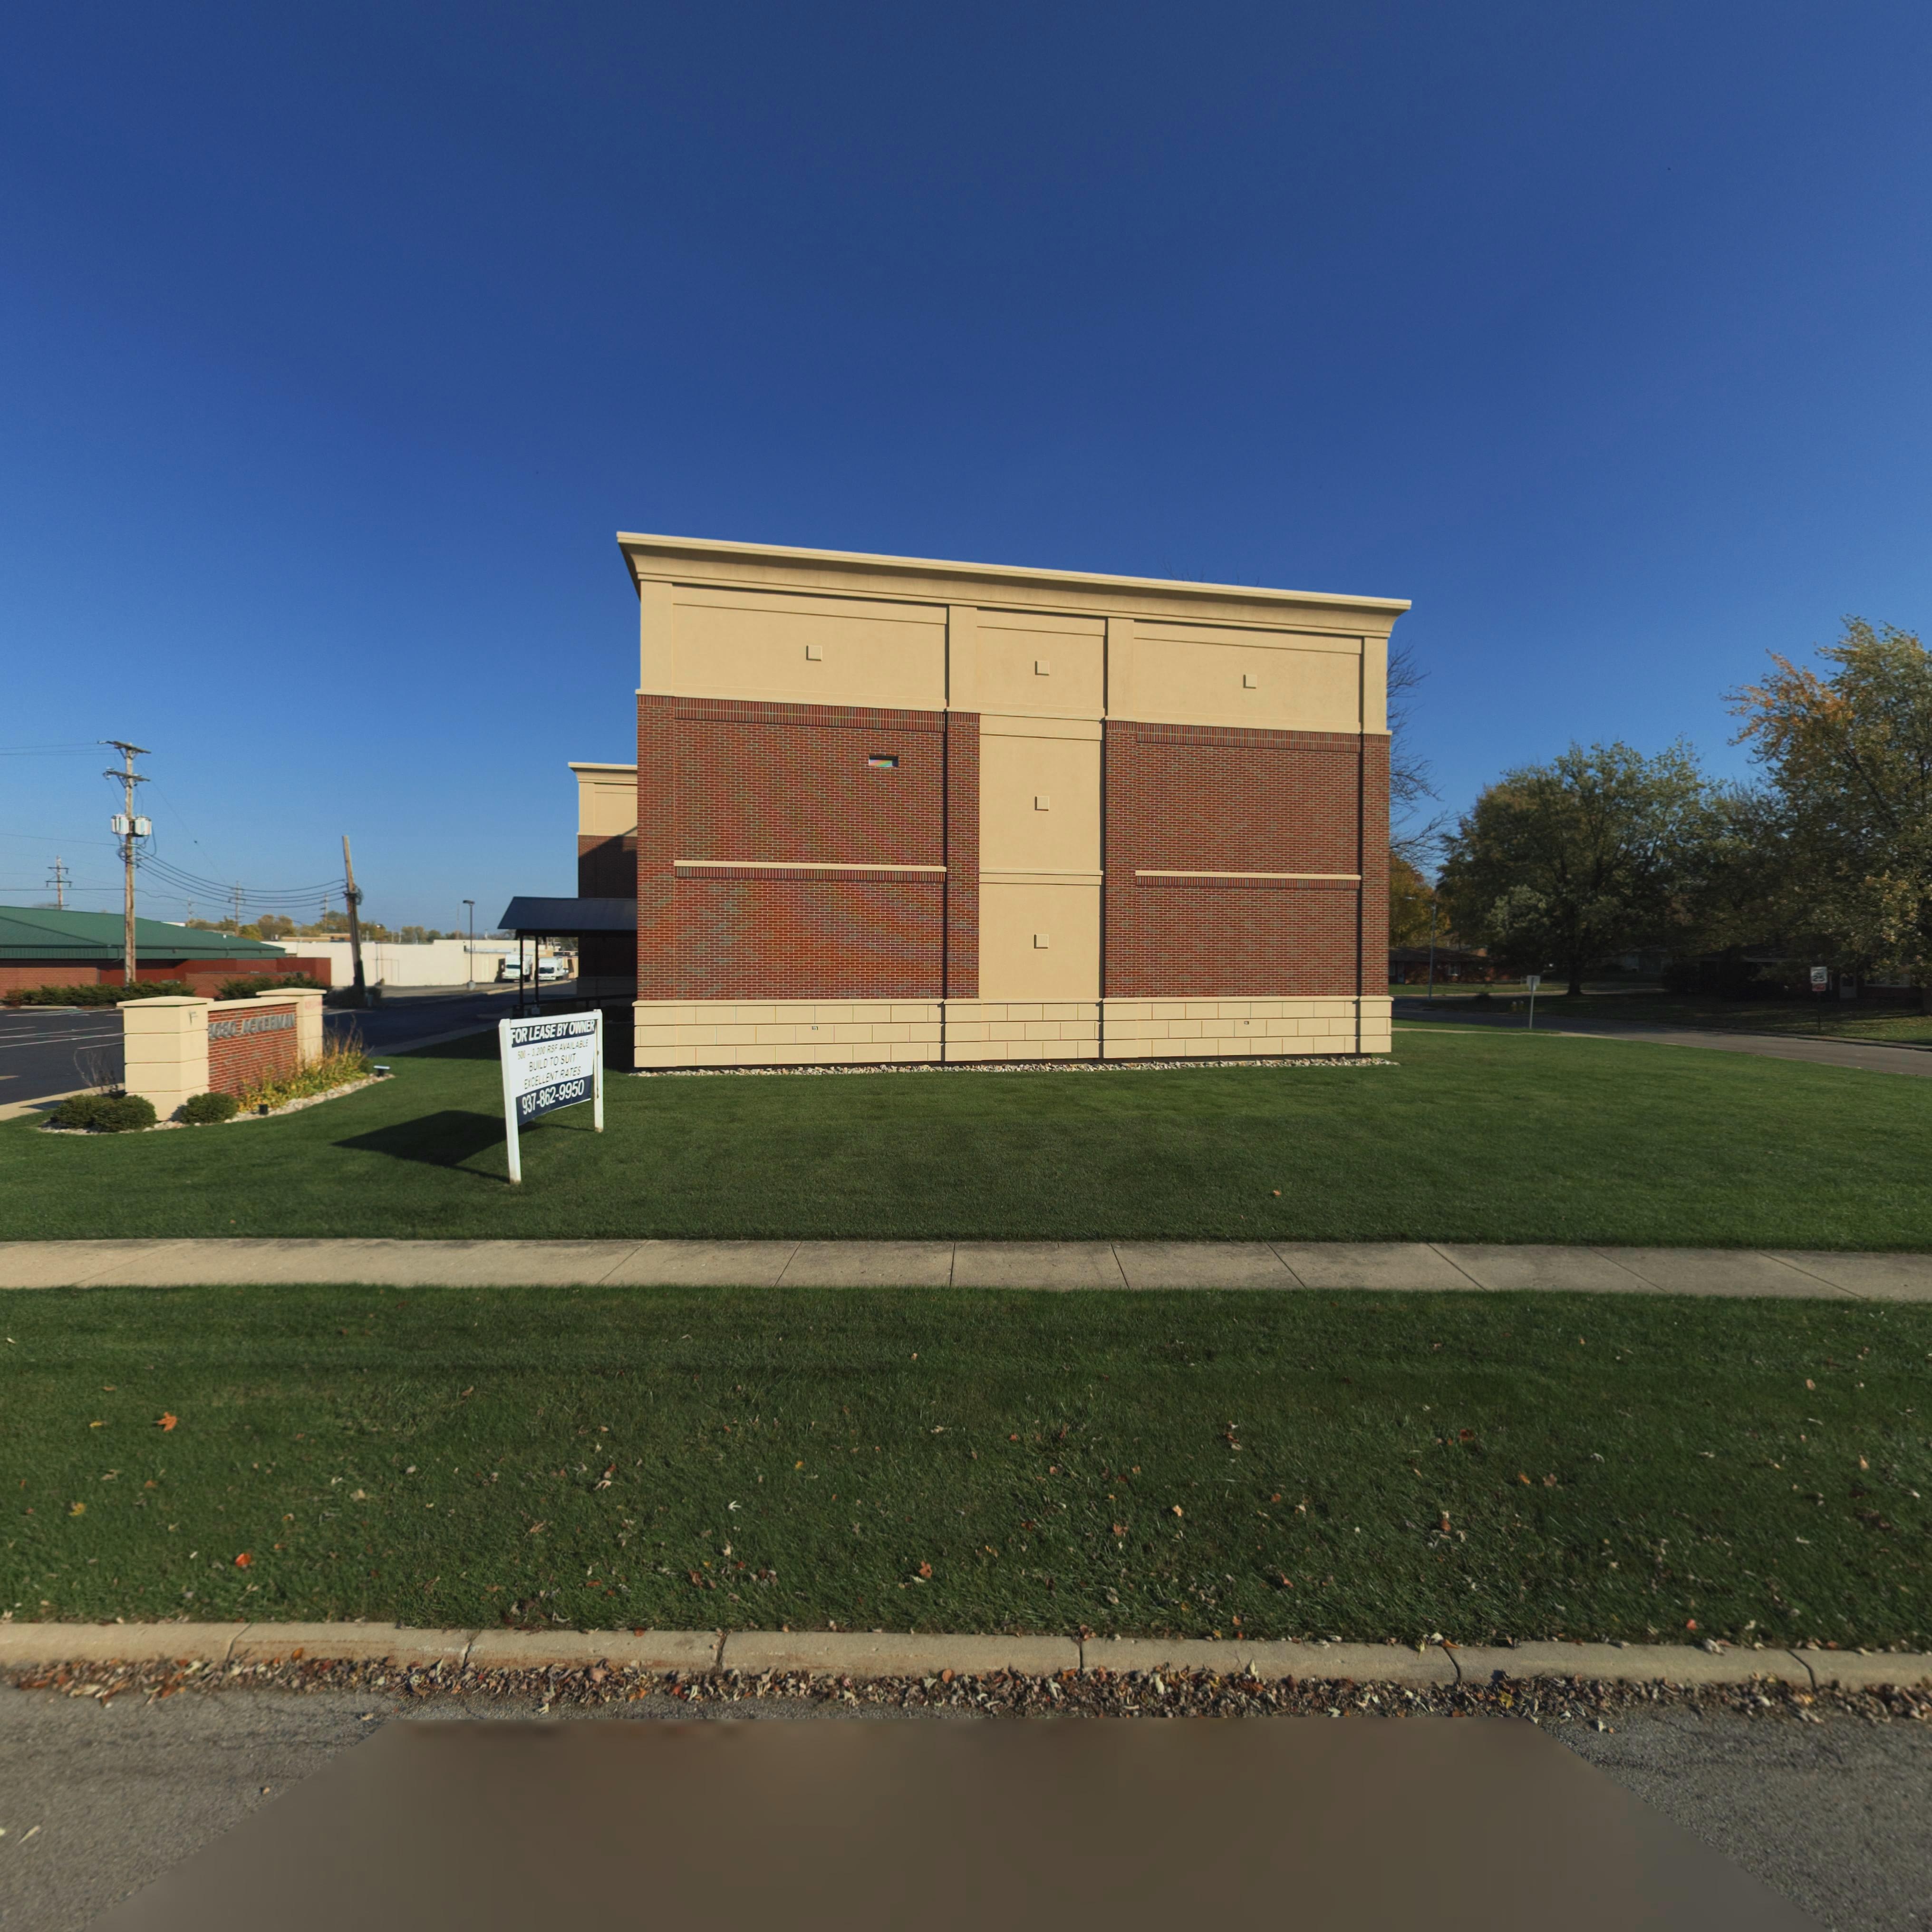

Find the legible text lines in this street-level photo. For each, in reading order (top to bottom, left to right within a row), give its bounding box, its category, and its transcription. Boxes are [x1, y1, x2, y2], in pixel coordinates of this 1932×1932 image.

[212, 1019, 237, 1040] StreetNumber: 080
[240, 1012, 296, 1036] StreetName: ACKERMAN